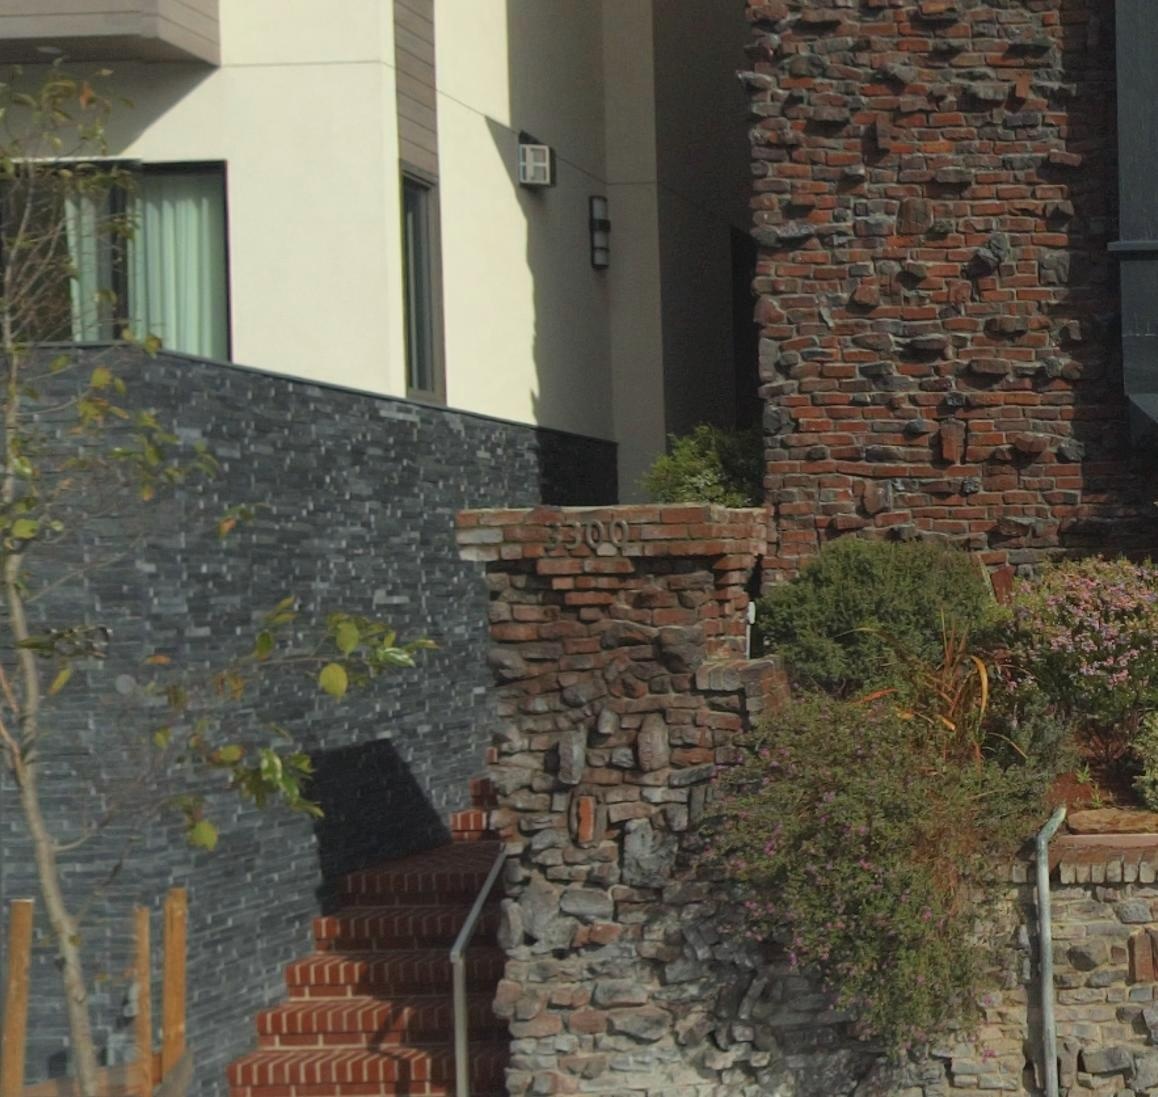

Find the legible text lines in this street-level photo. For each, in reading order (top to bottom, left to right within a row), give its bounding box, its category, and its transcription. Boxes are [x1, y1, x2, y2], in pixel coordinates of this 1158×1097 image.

[541, 515, 631, 557] StreetNumber: 3300